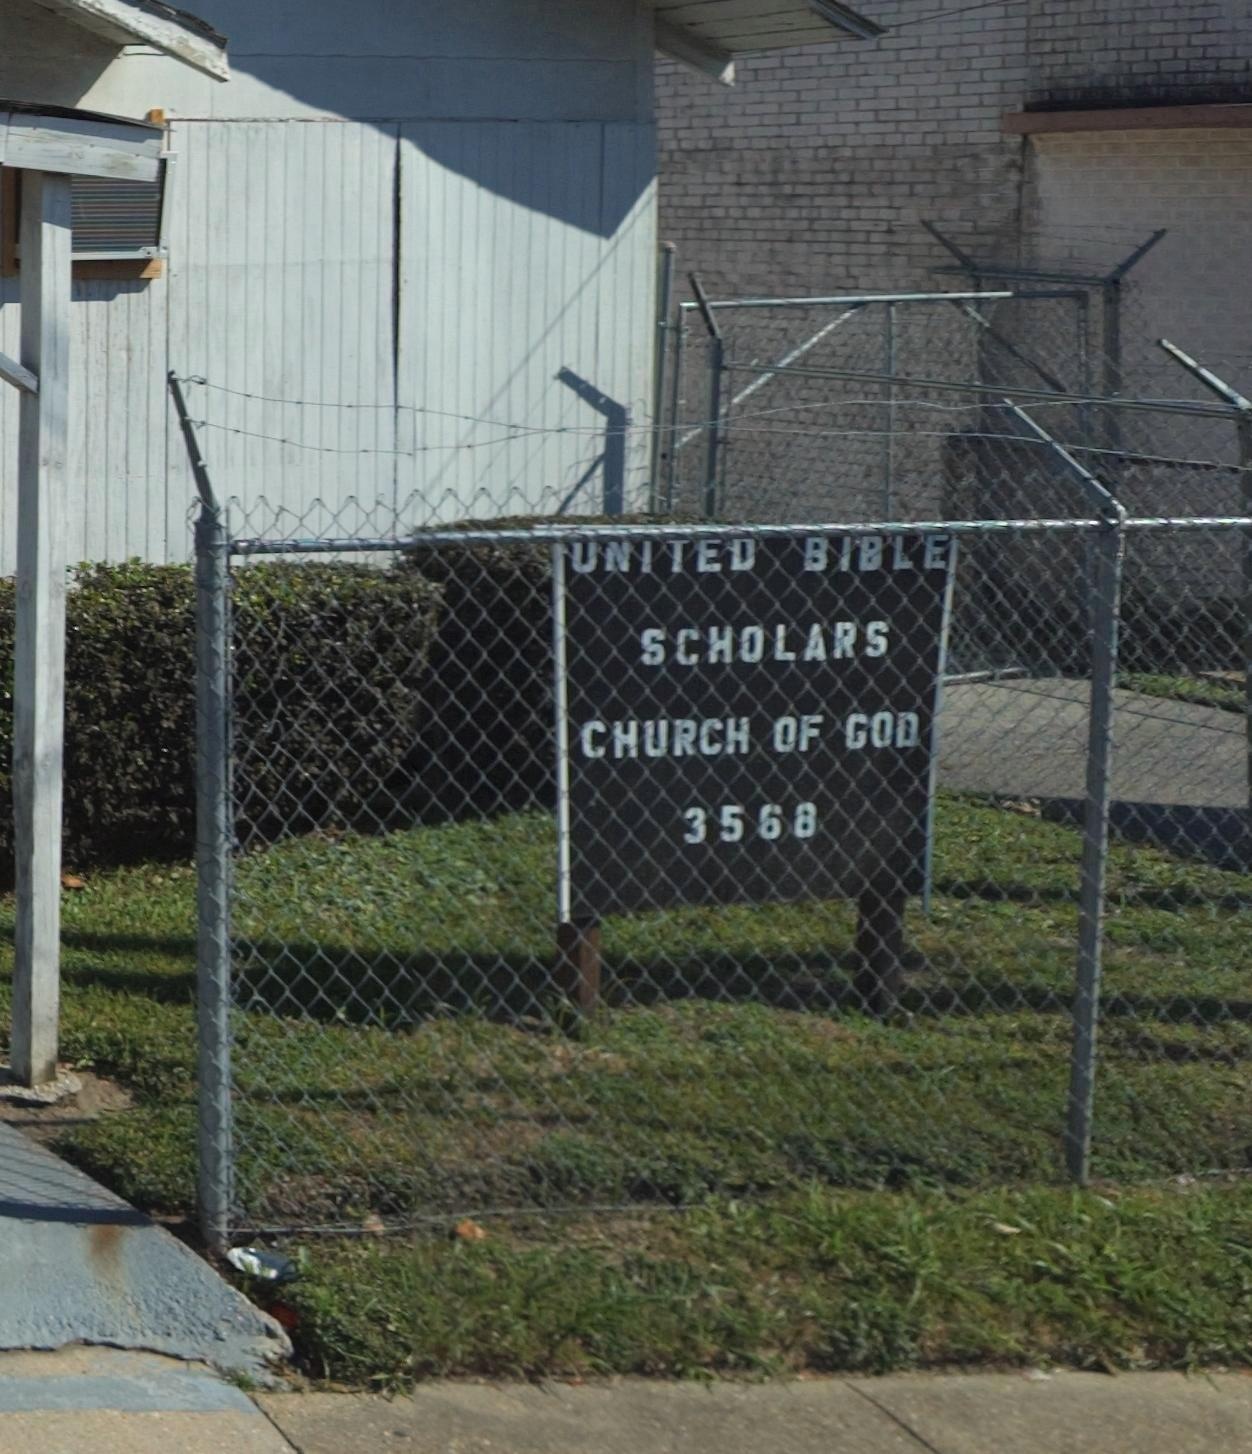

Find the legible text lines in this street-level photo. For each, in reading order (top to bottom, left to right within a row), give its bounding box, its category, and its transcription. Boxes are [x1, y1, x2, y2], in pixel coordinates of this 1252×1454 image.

[567, 532, 953, 576] BusinessName: UNITED BIBLE
[635, 615, 896, 670] BusinessName: SCHOLARS
[576, 707, 924, 762] BusinessName: CHURCH OF GOD
[678, 797, 823, 847] StreetNumber: 3568